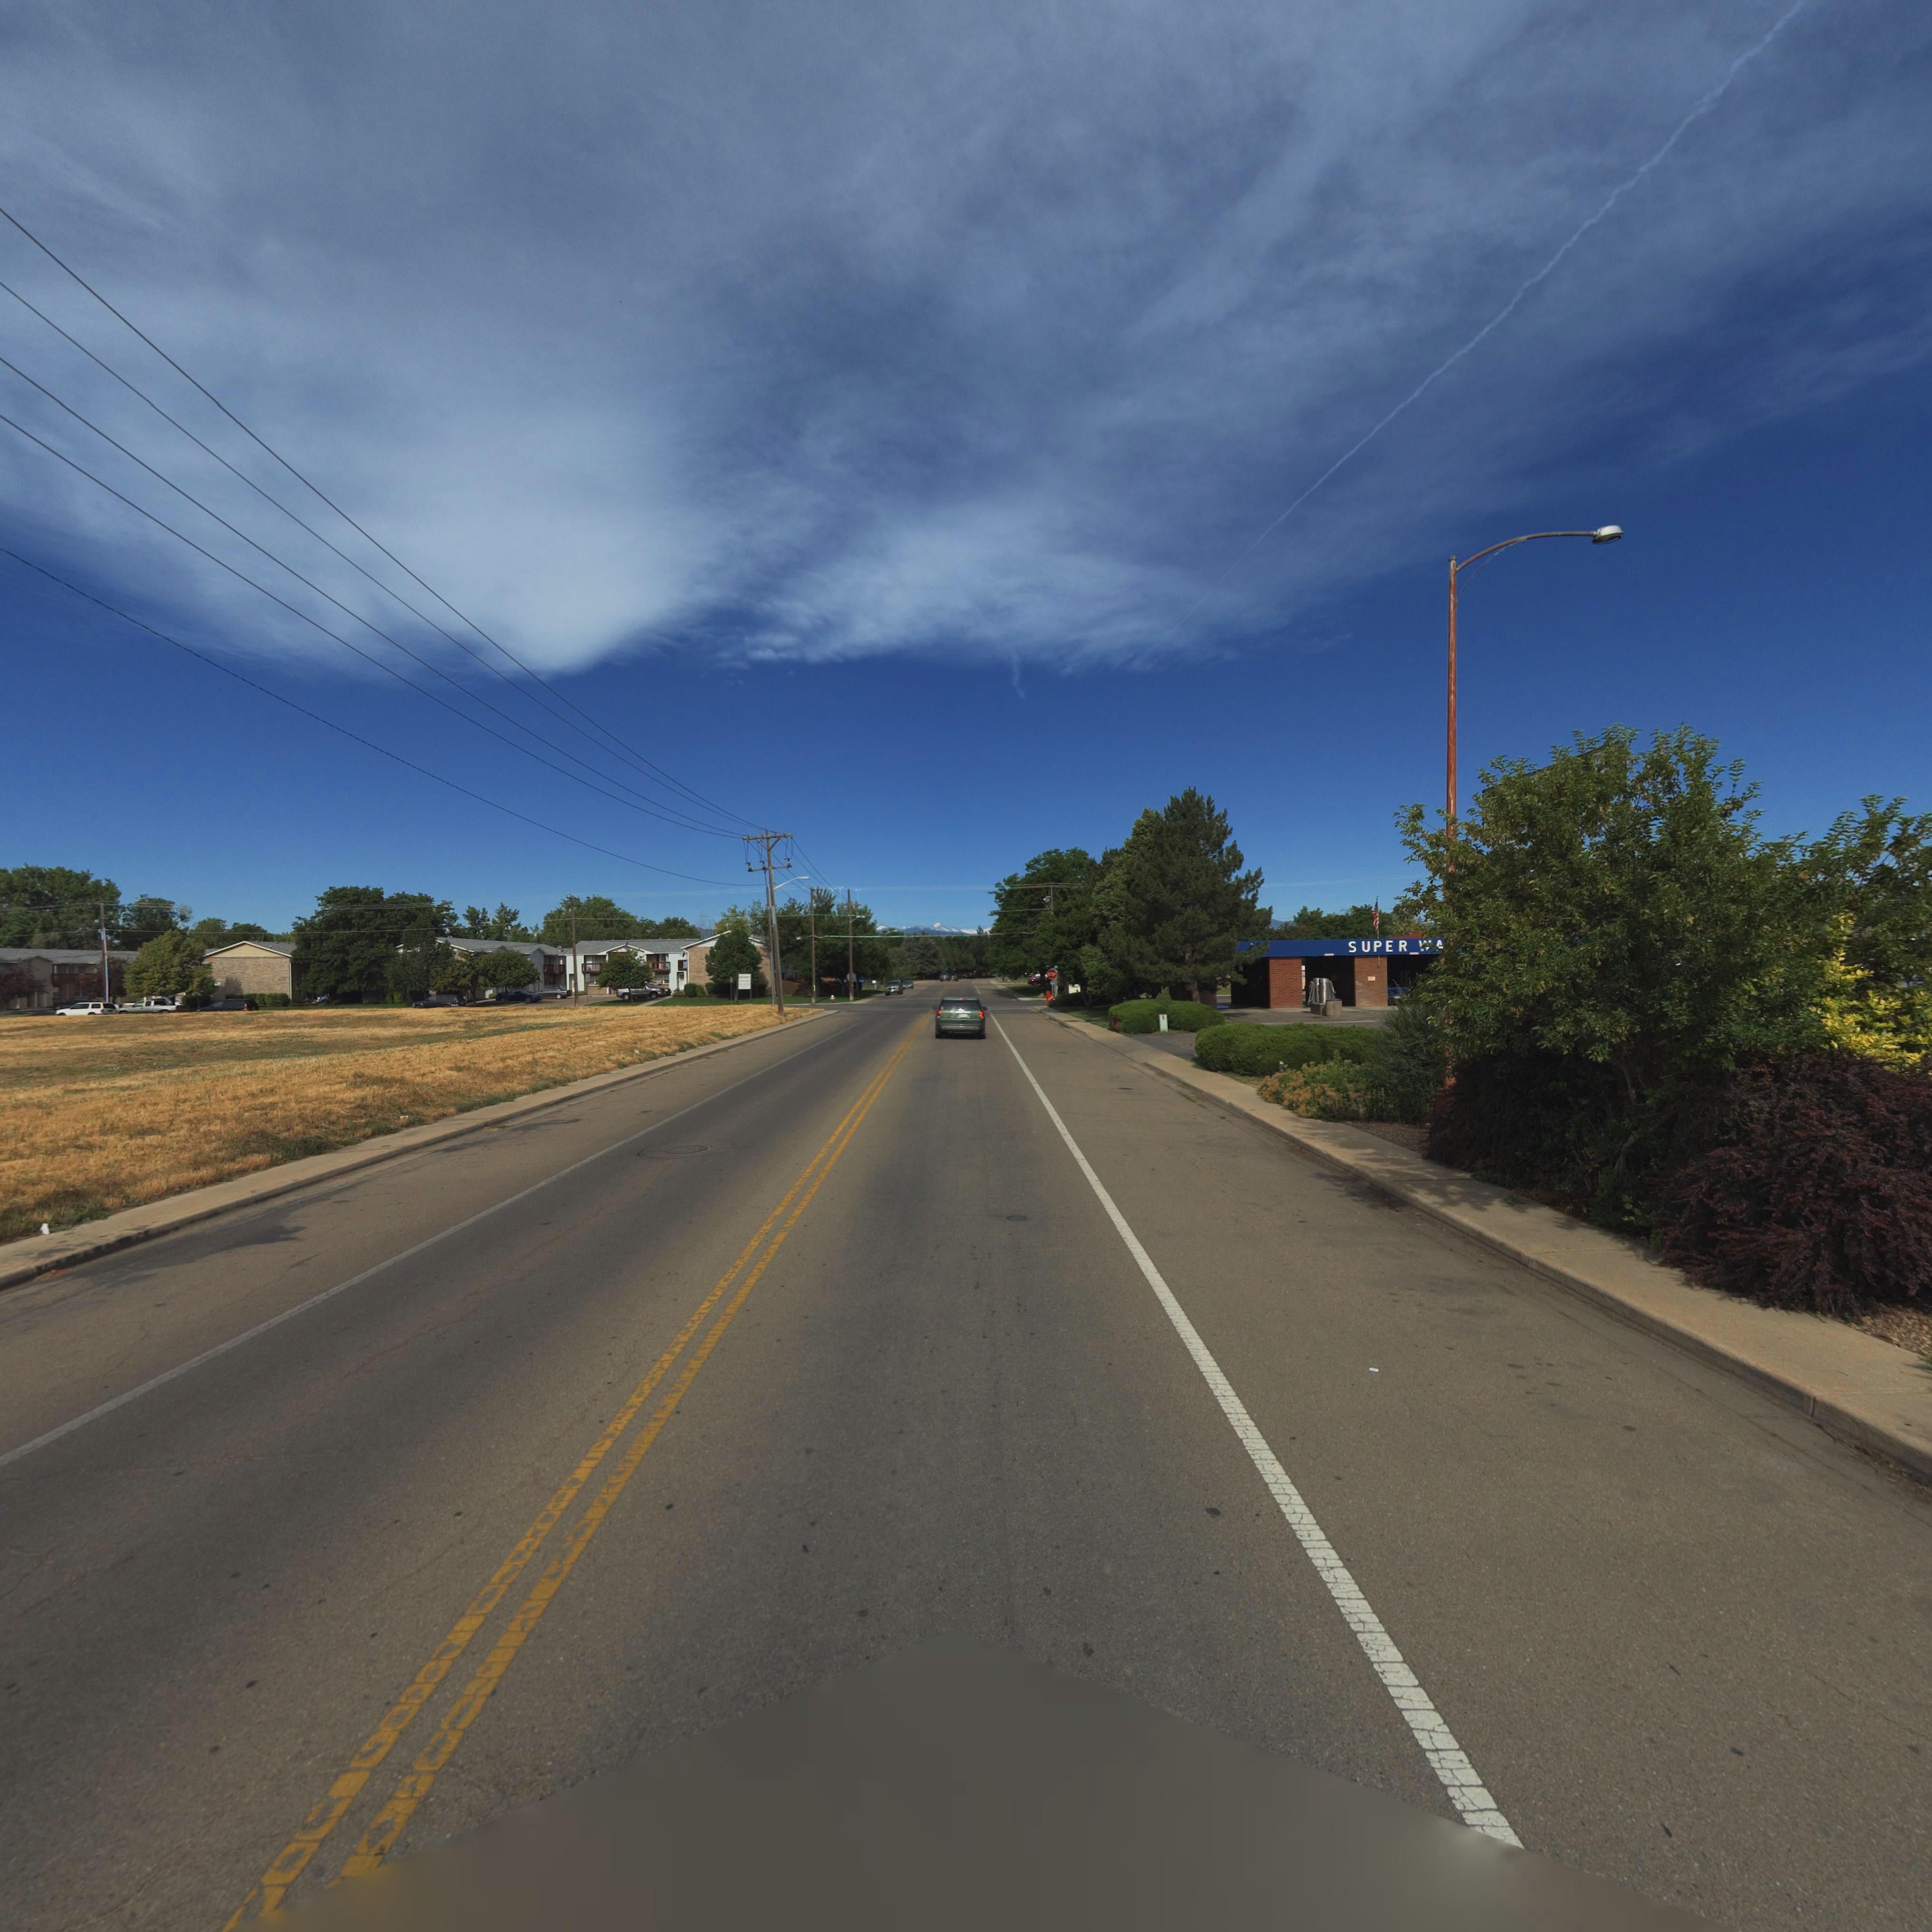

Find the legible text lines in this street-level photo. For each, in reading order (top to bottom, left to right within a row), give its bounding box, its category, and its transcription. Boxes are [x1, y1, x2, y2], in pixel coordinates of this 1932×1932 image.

[1348, 939, 1444, 953] BusinessName: SUPER **